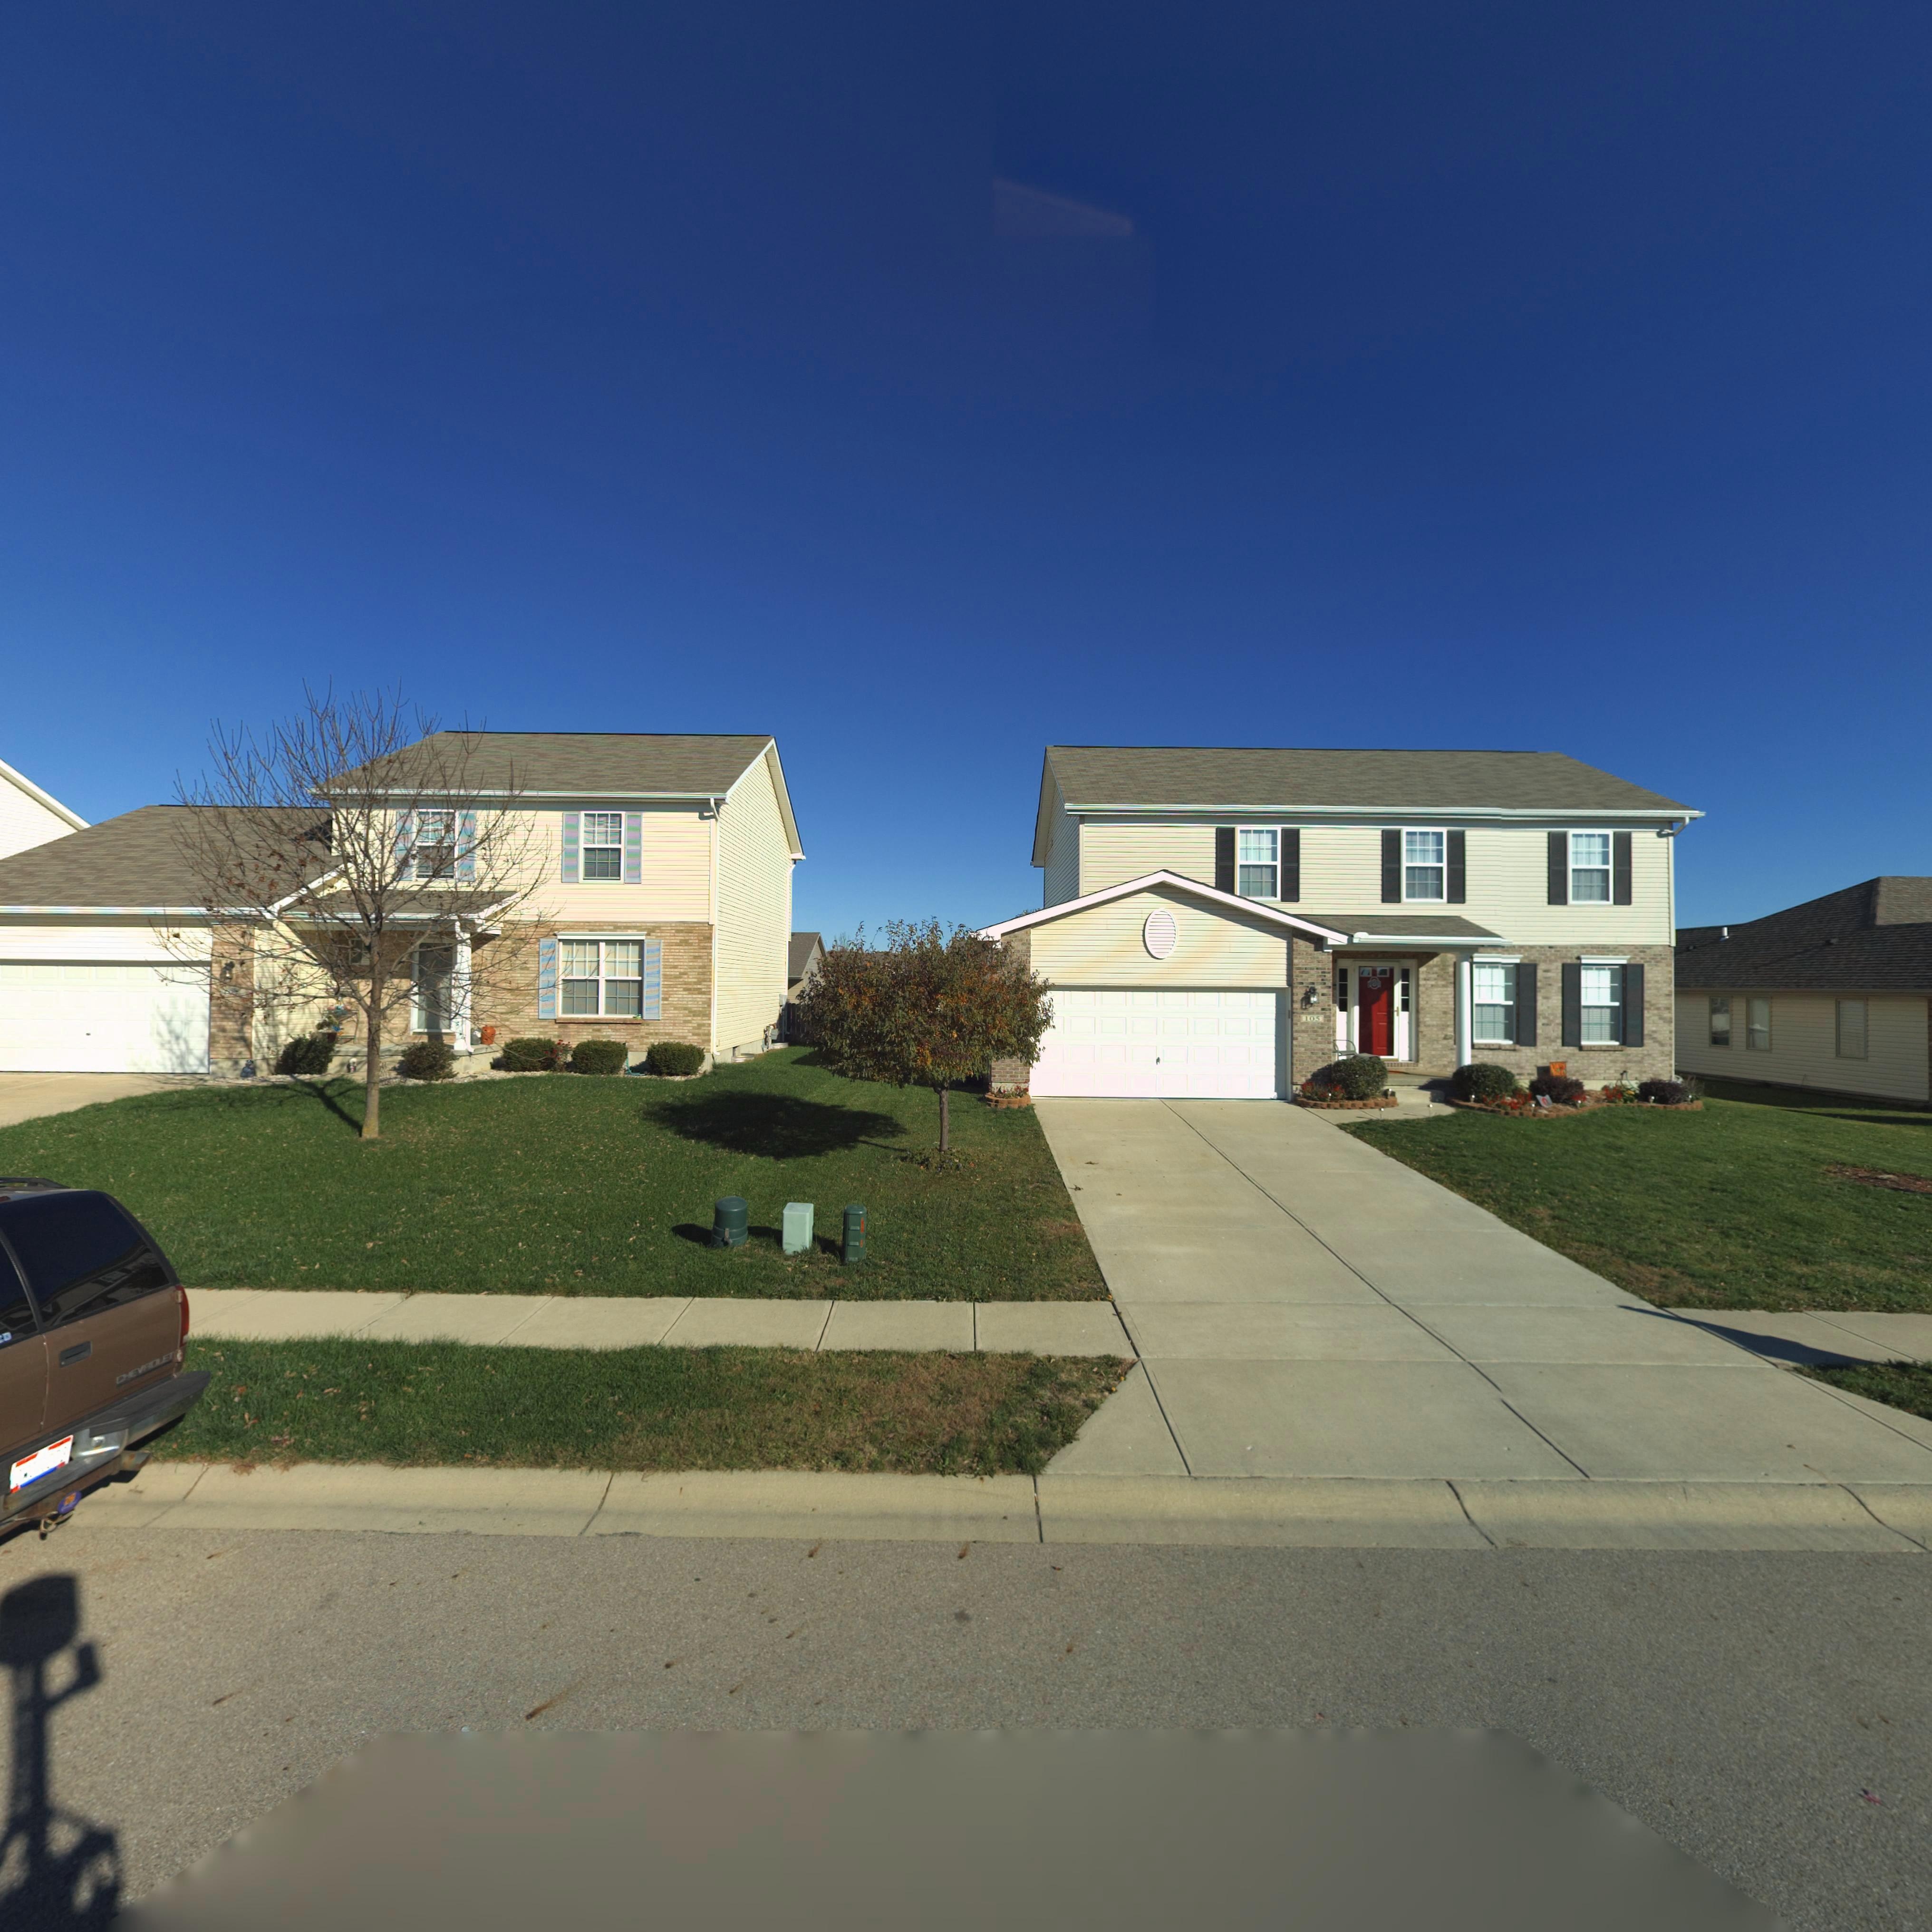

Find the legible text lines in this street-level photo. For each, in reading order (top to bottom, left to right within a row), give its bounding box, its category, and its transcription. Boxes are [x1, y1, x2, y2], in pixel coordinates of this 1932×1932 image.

[1304, 1015, 1321, 1022] StreetNumber: 105